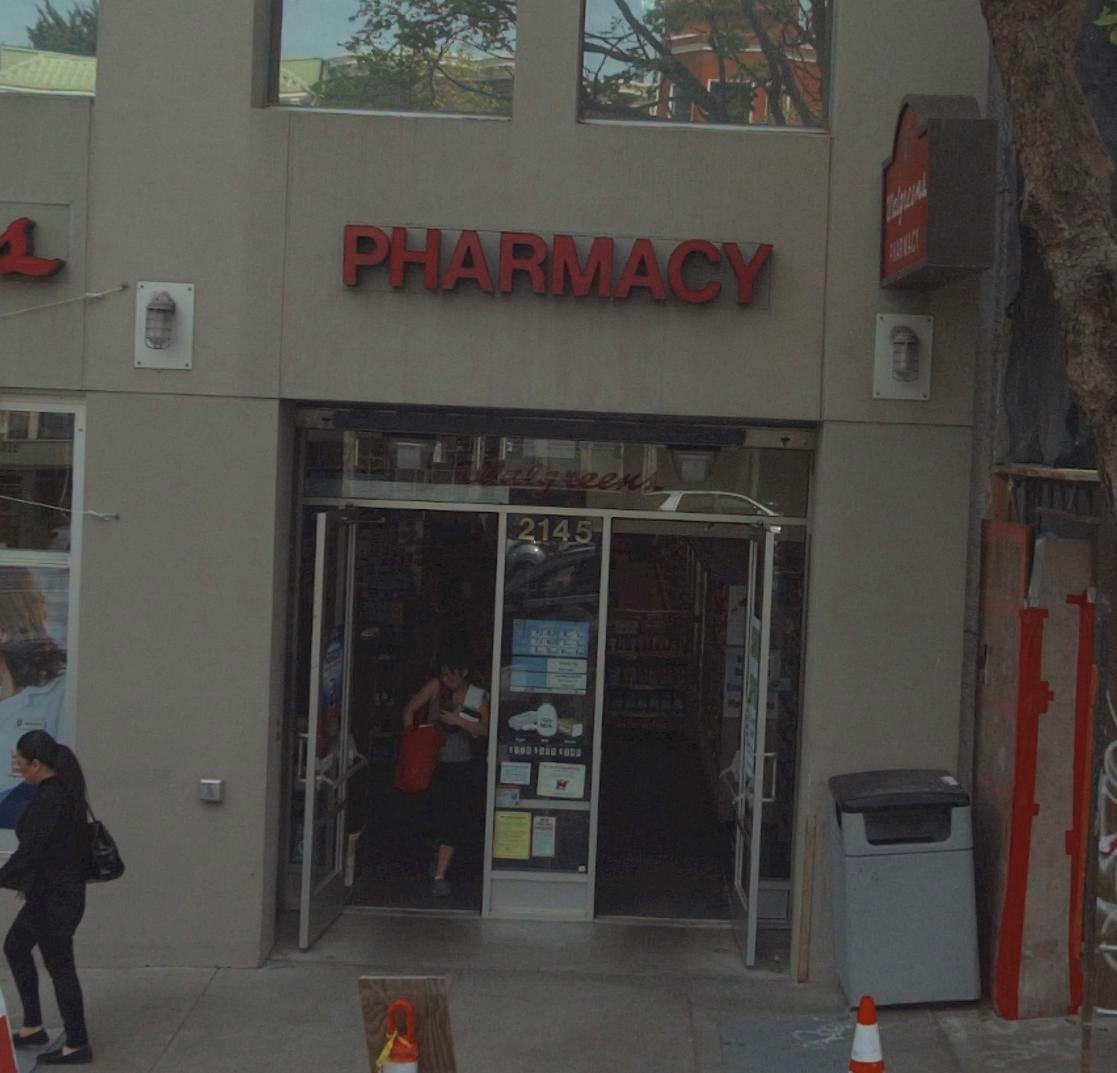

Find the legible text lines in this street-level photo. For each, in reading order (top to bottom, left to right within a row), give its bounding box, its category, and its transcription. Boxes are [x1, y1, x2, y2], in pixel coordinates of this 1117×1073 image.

[339, 220, 779, 308] None: PHARMACY
[454, 455, 668, 502] BusinessName: Walgreens
[515, 515, 595, 546] StreetNumber: 2145